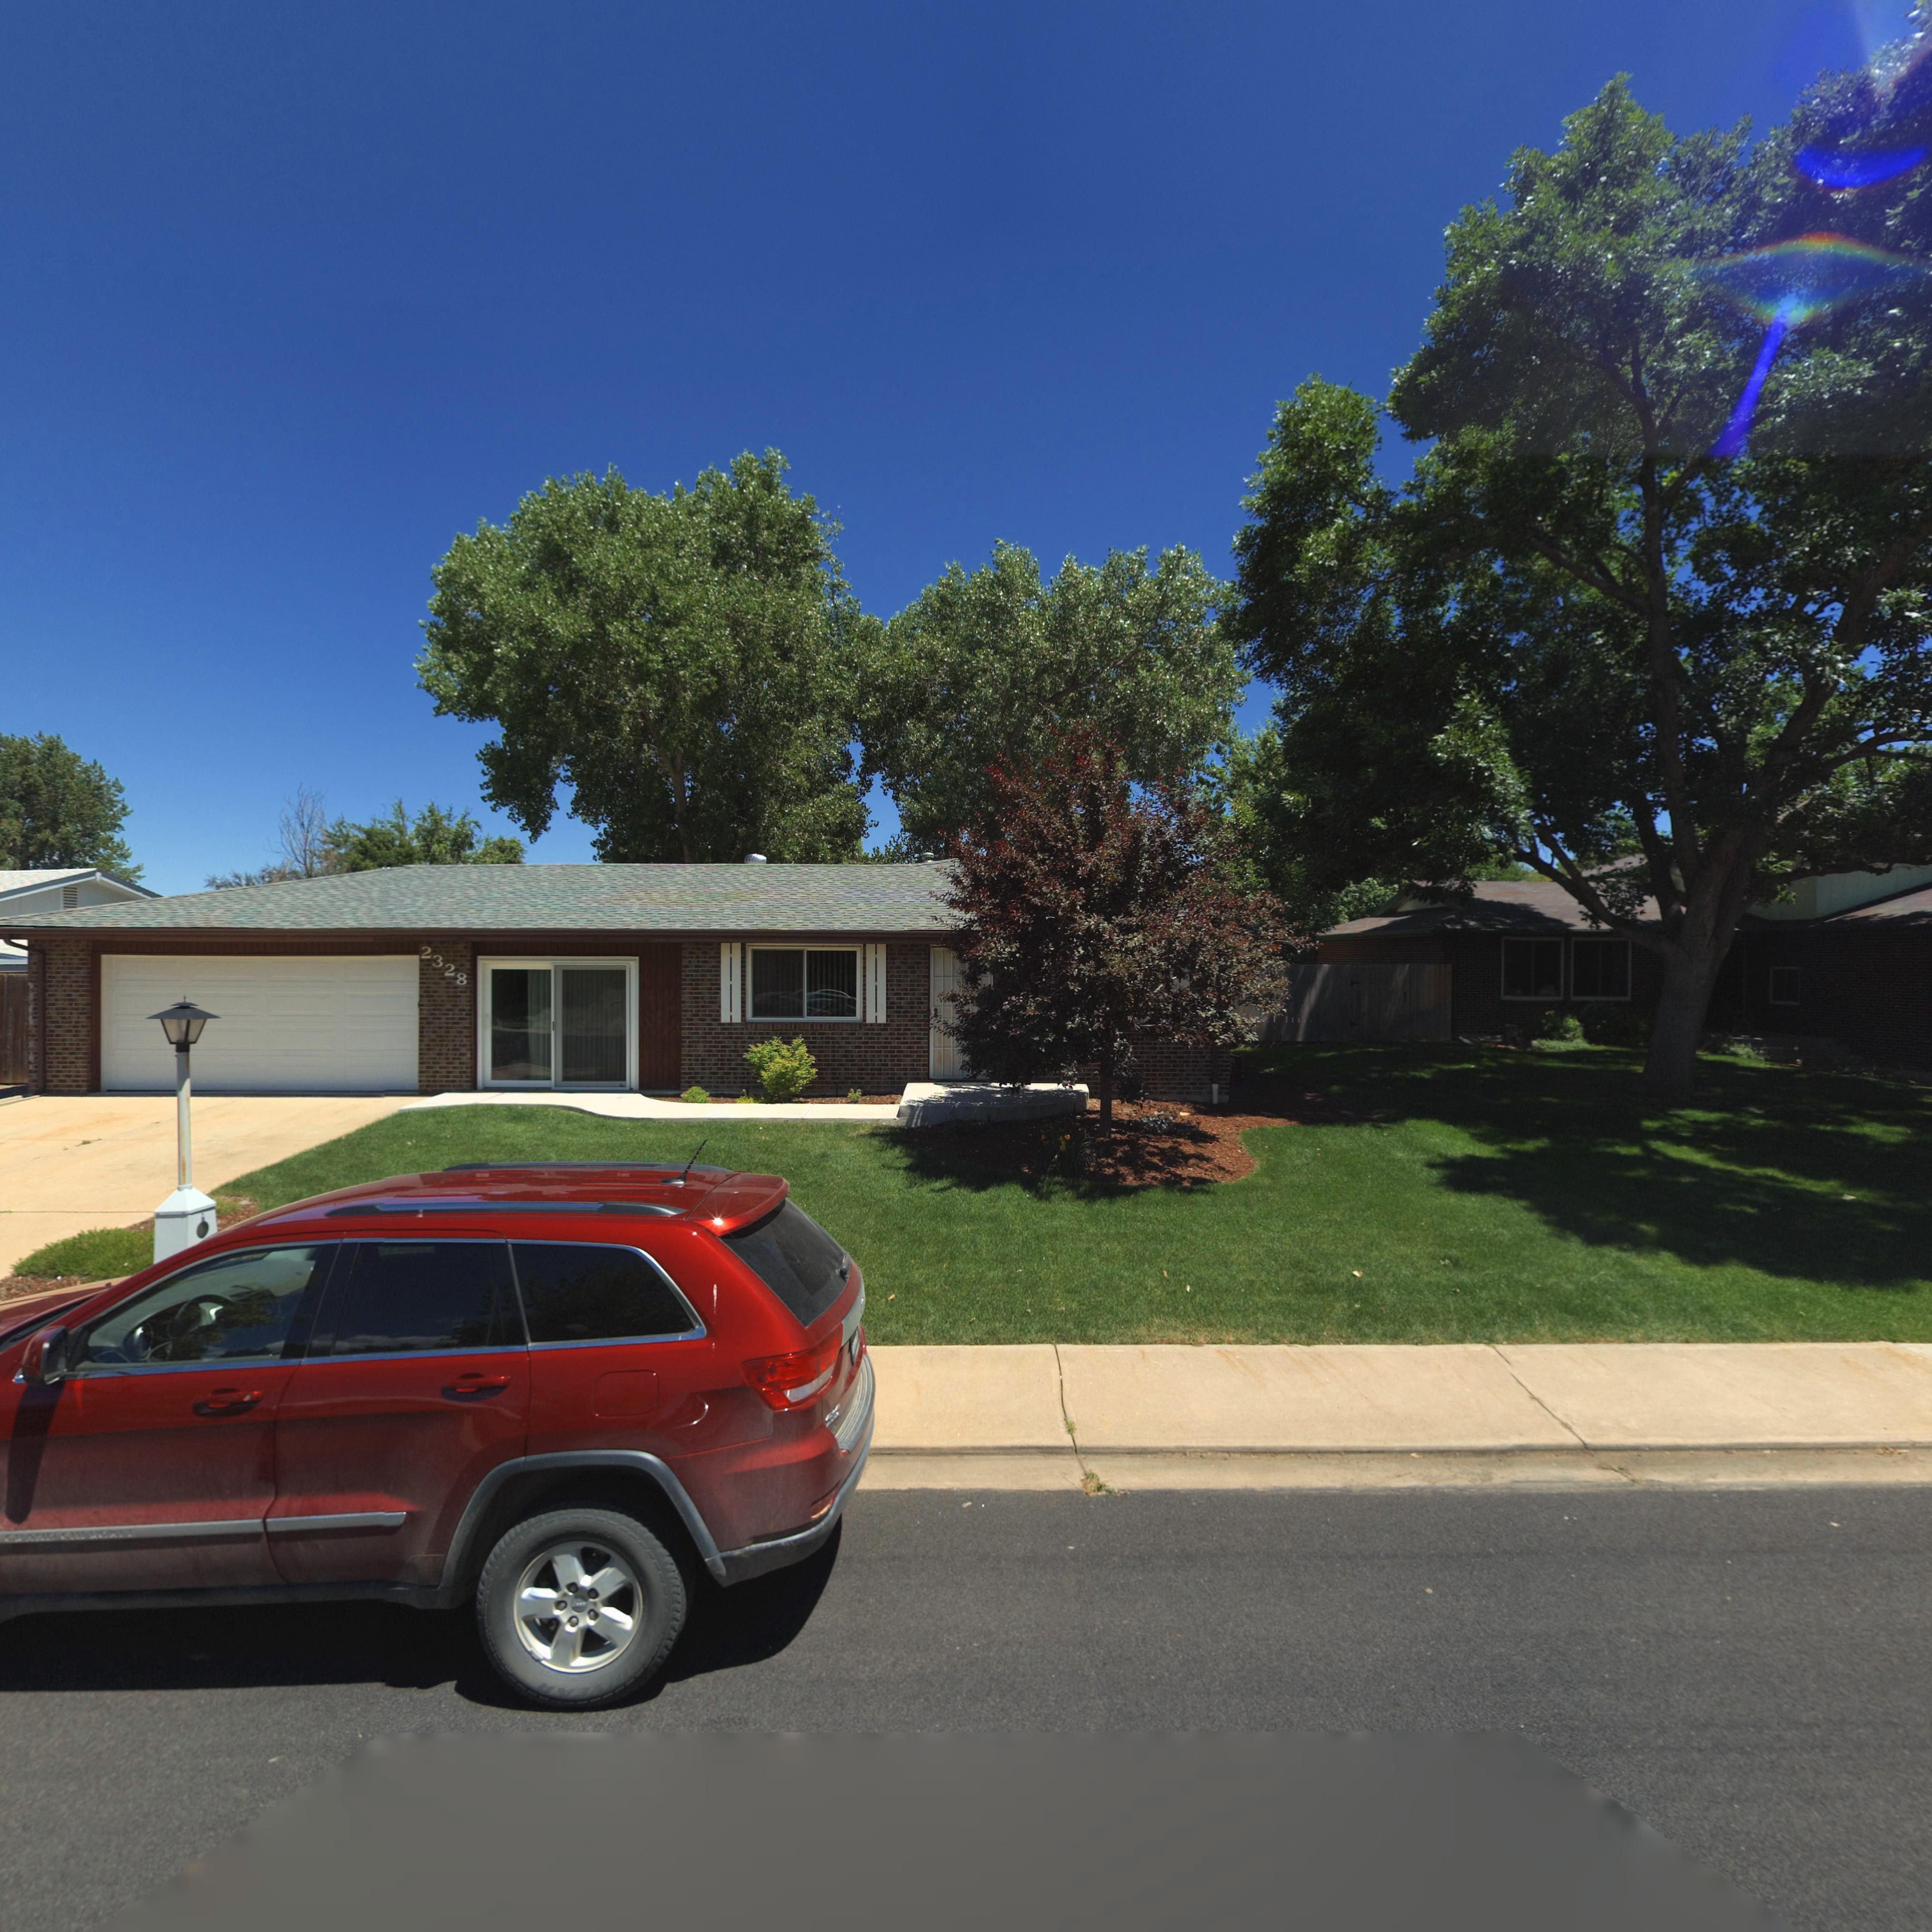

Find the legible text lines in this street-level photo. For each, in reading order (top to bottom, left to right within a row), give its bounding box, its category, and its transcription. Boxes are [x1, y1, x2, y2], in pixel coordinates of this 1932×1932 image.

[421, 947, 467, 985] StreetNumber: 2328